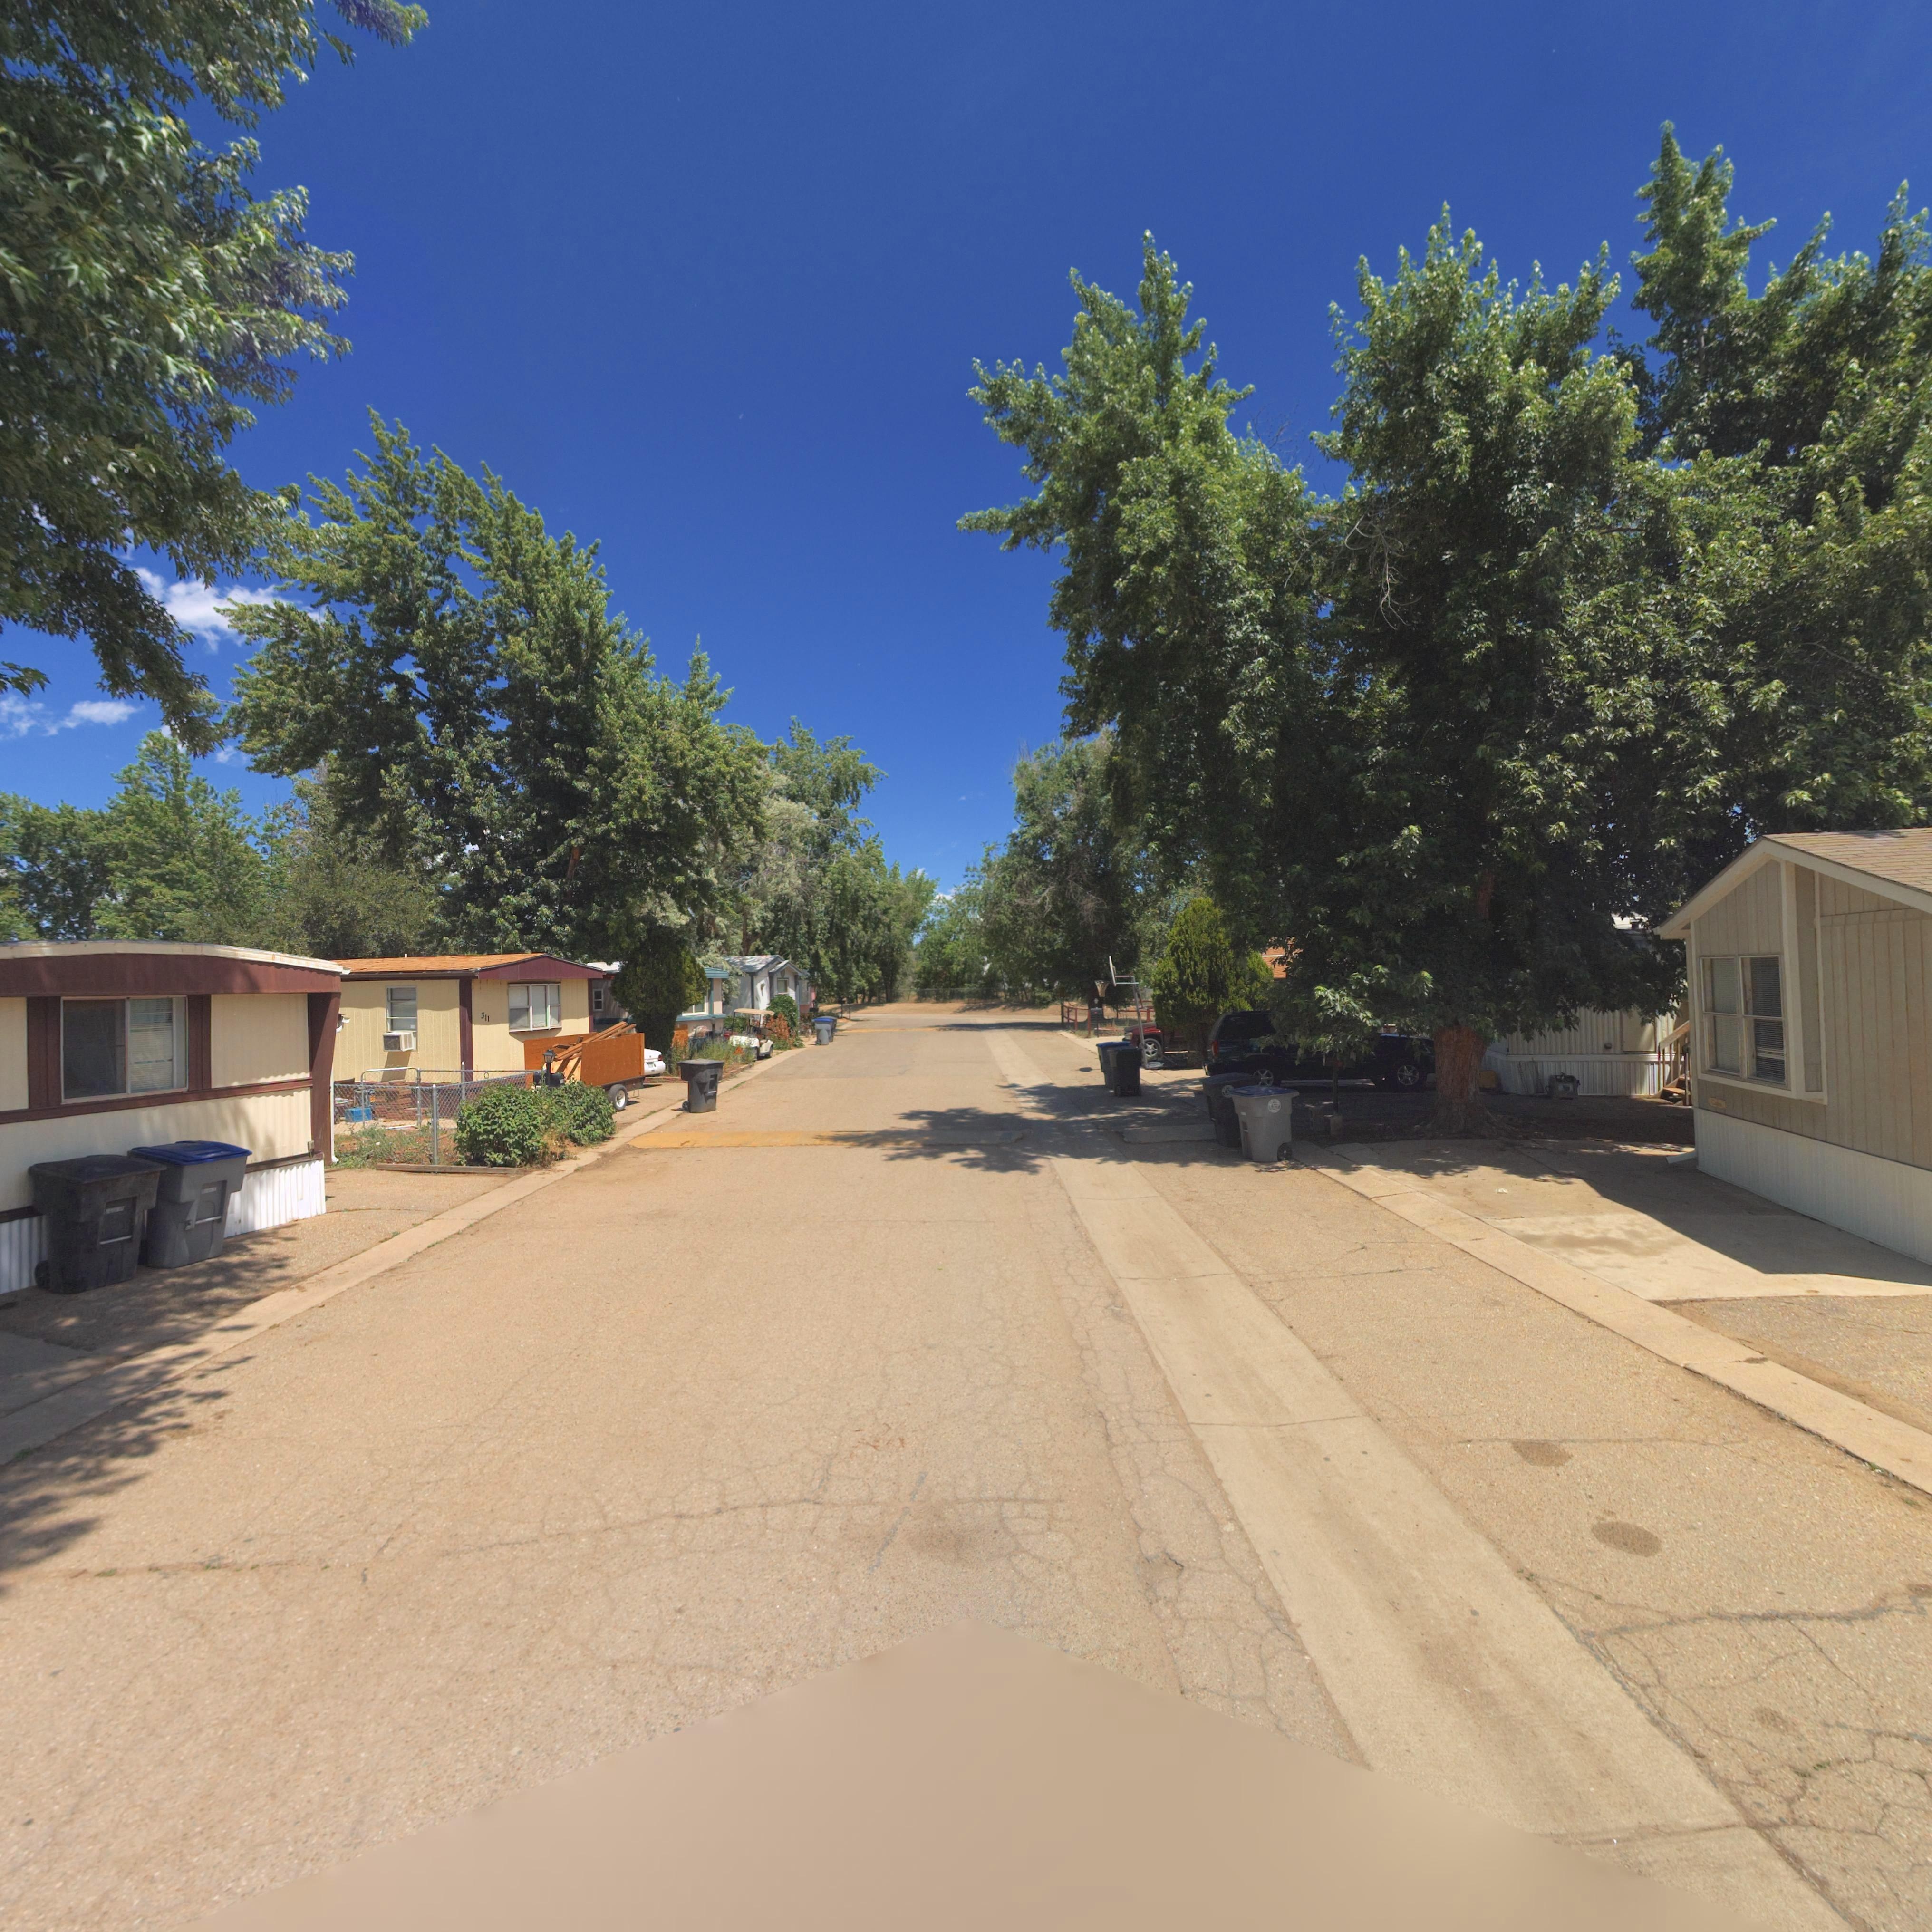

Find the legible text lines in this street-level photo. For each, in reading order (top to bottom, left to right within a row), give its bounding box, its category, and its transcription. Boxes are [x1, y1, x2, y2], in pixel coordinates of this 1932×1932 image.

[481, 1012, 490, 1022] StreetNumber: 311